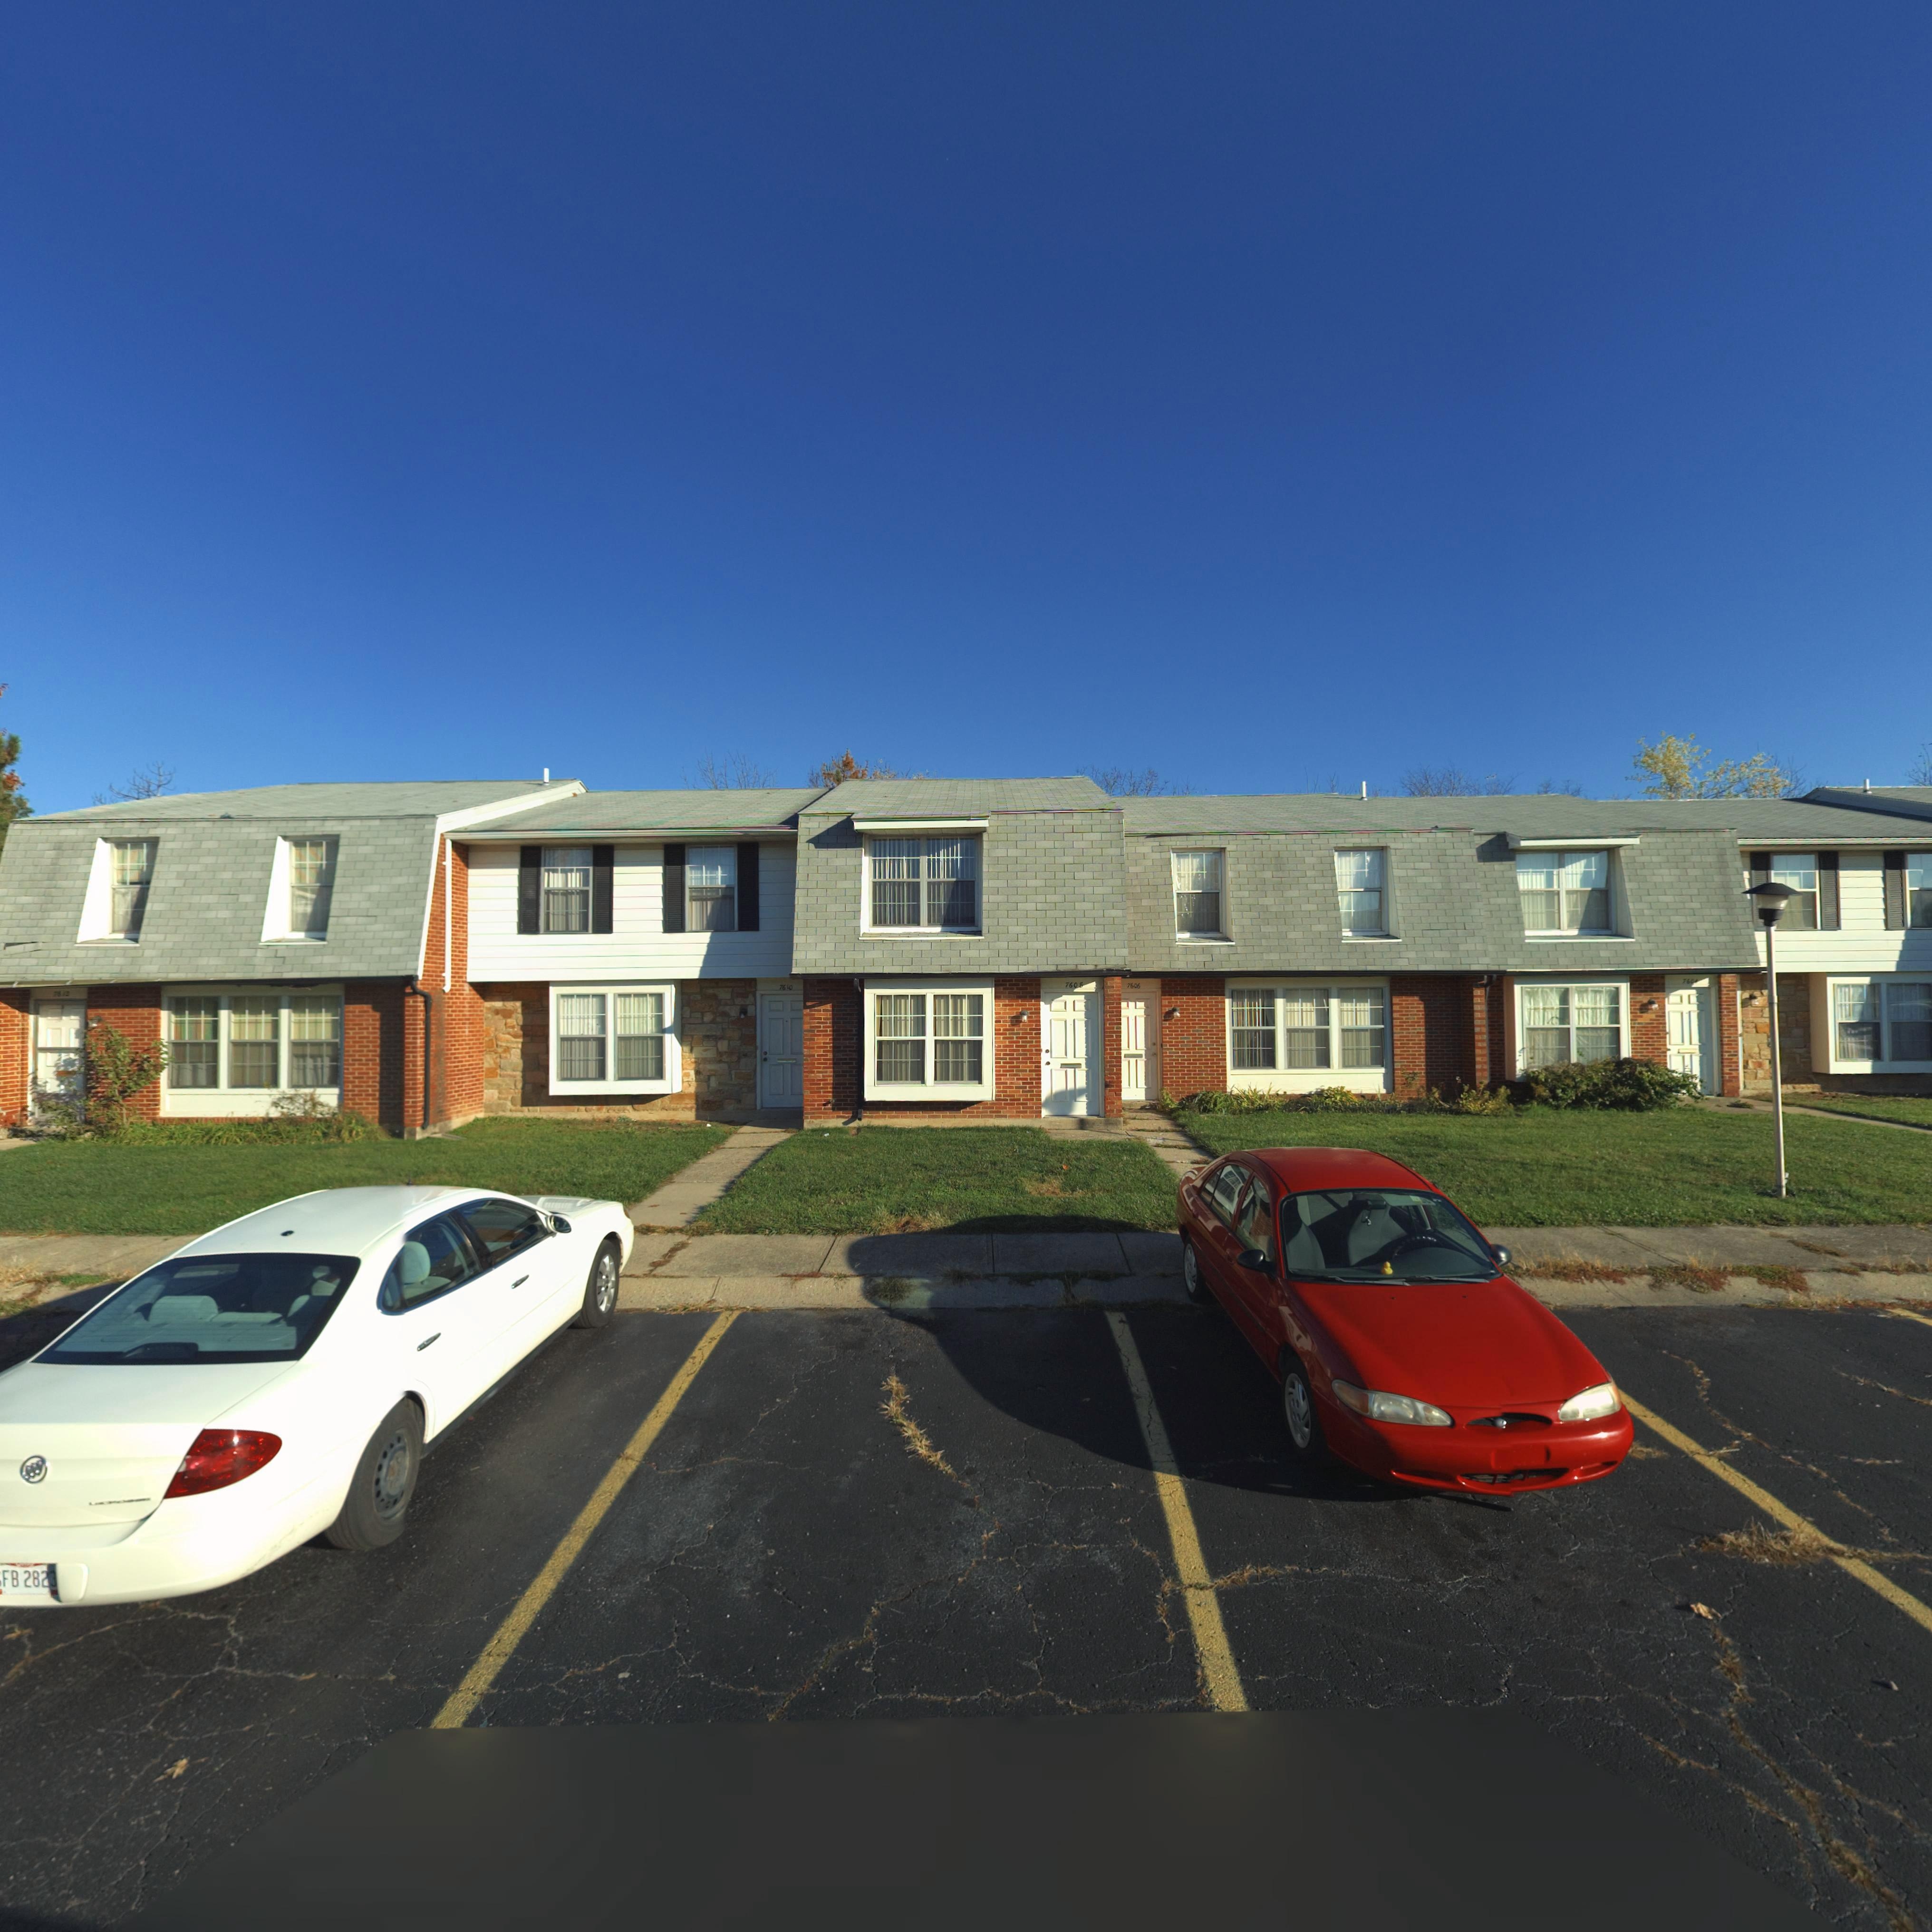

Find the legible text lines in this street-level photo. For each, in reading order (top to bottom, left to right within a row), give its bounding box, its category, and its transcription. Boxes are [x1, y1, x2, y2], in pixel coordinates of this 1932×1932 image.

[779, 983, 794, 991] StreetNumber: 7610
[1064, 980, 1084, 990] StreetNumber: 7608
[1126, 982, 1141, 990] StreetNumber: 7606
[1682, 977, 1699, 985] StreetNumber: 760*